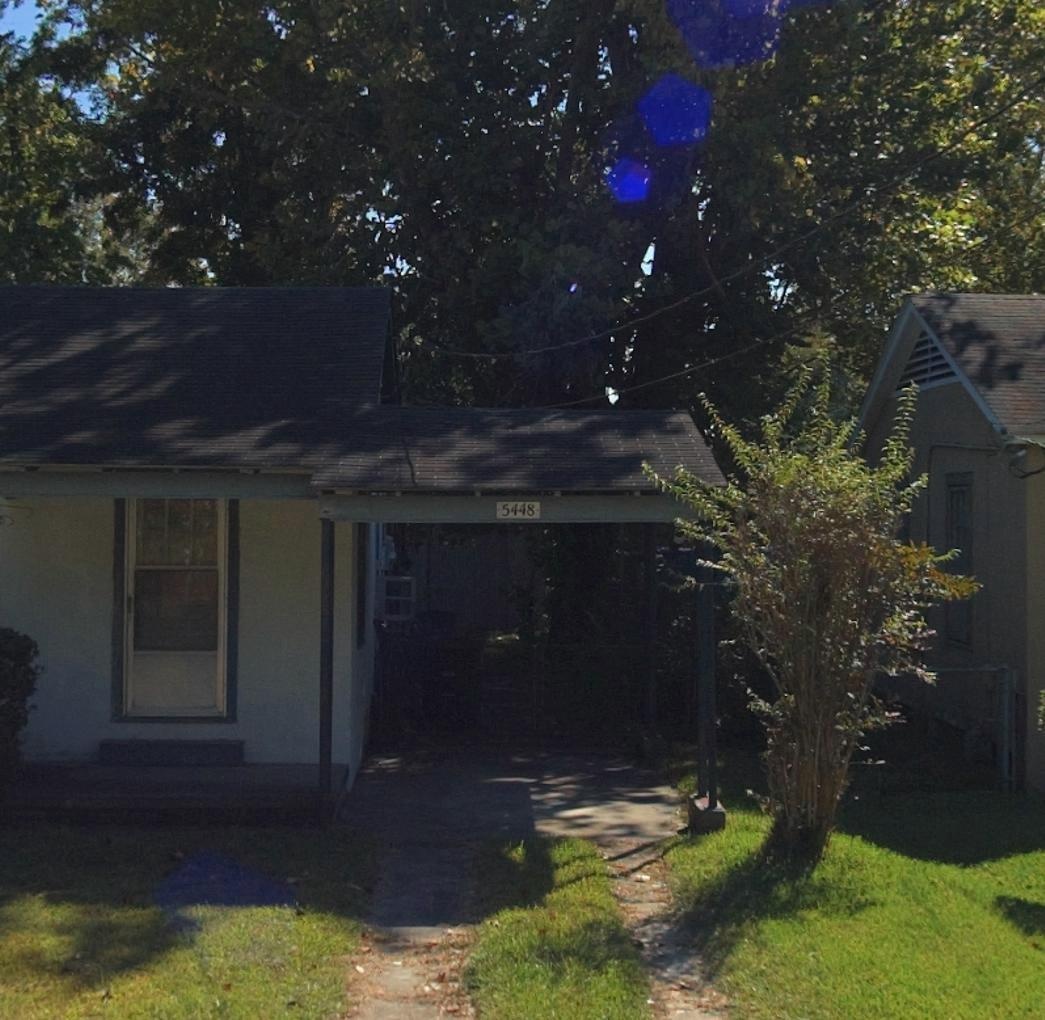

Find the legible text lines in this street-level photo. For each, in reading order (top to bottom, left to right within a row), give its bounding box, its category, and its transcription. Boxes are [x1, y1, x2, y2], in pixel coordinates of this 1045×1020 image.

[501, 502, 536, 518] StreetNumber: 5448